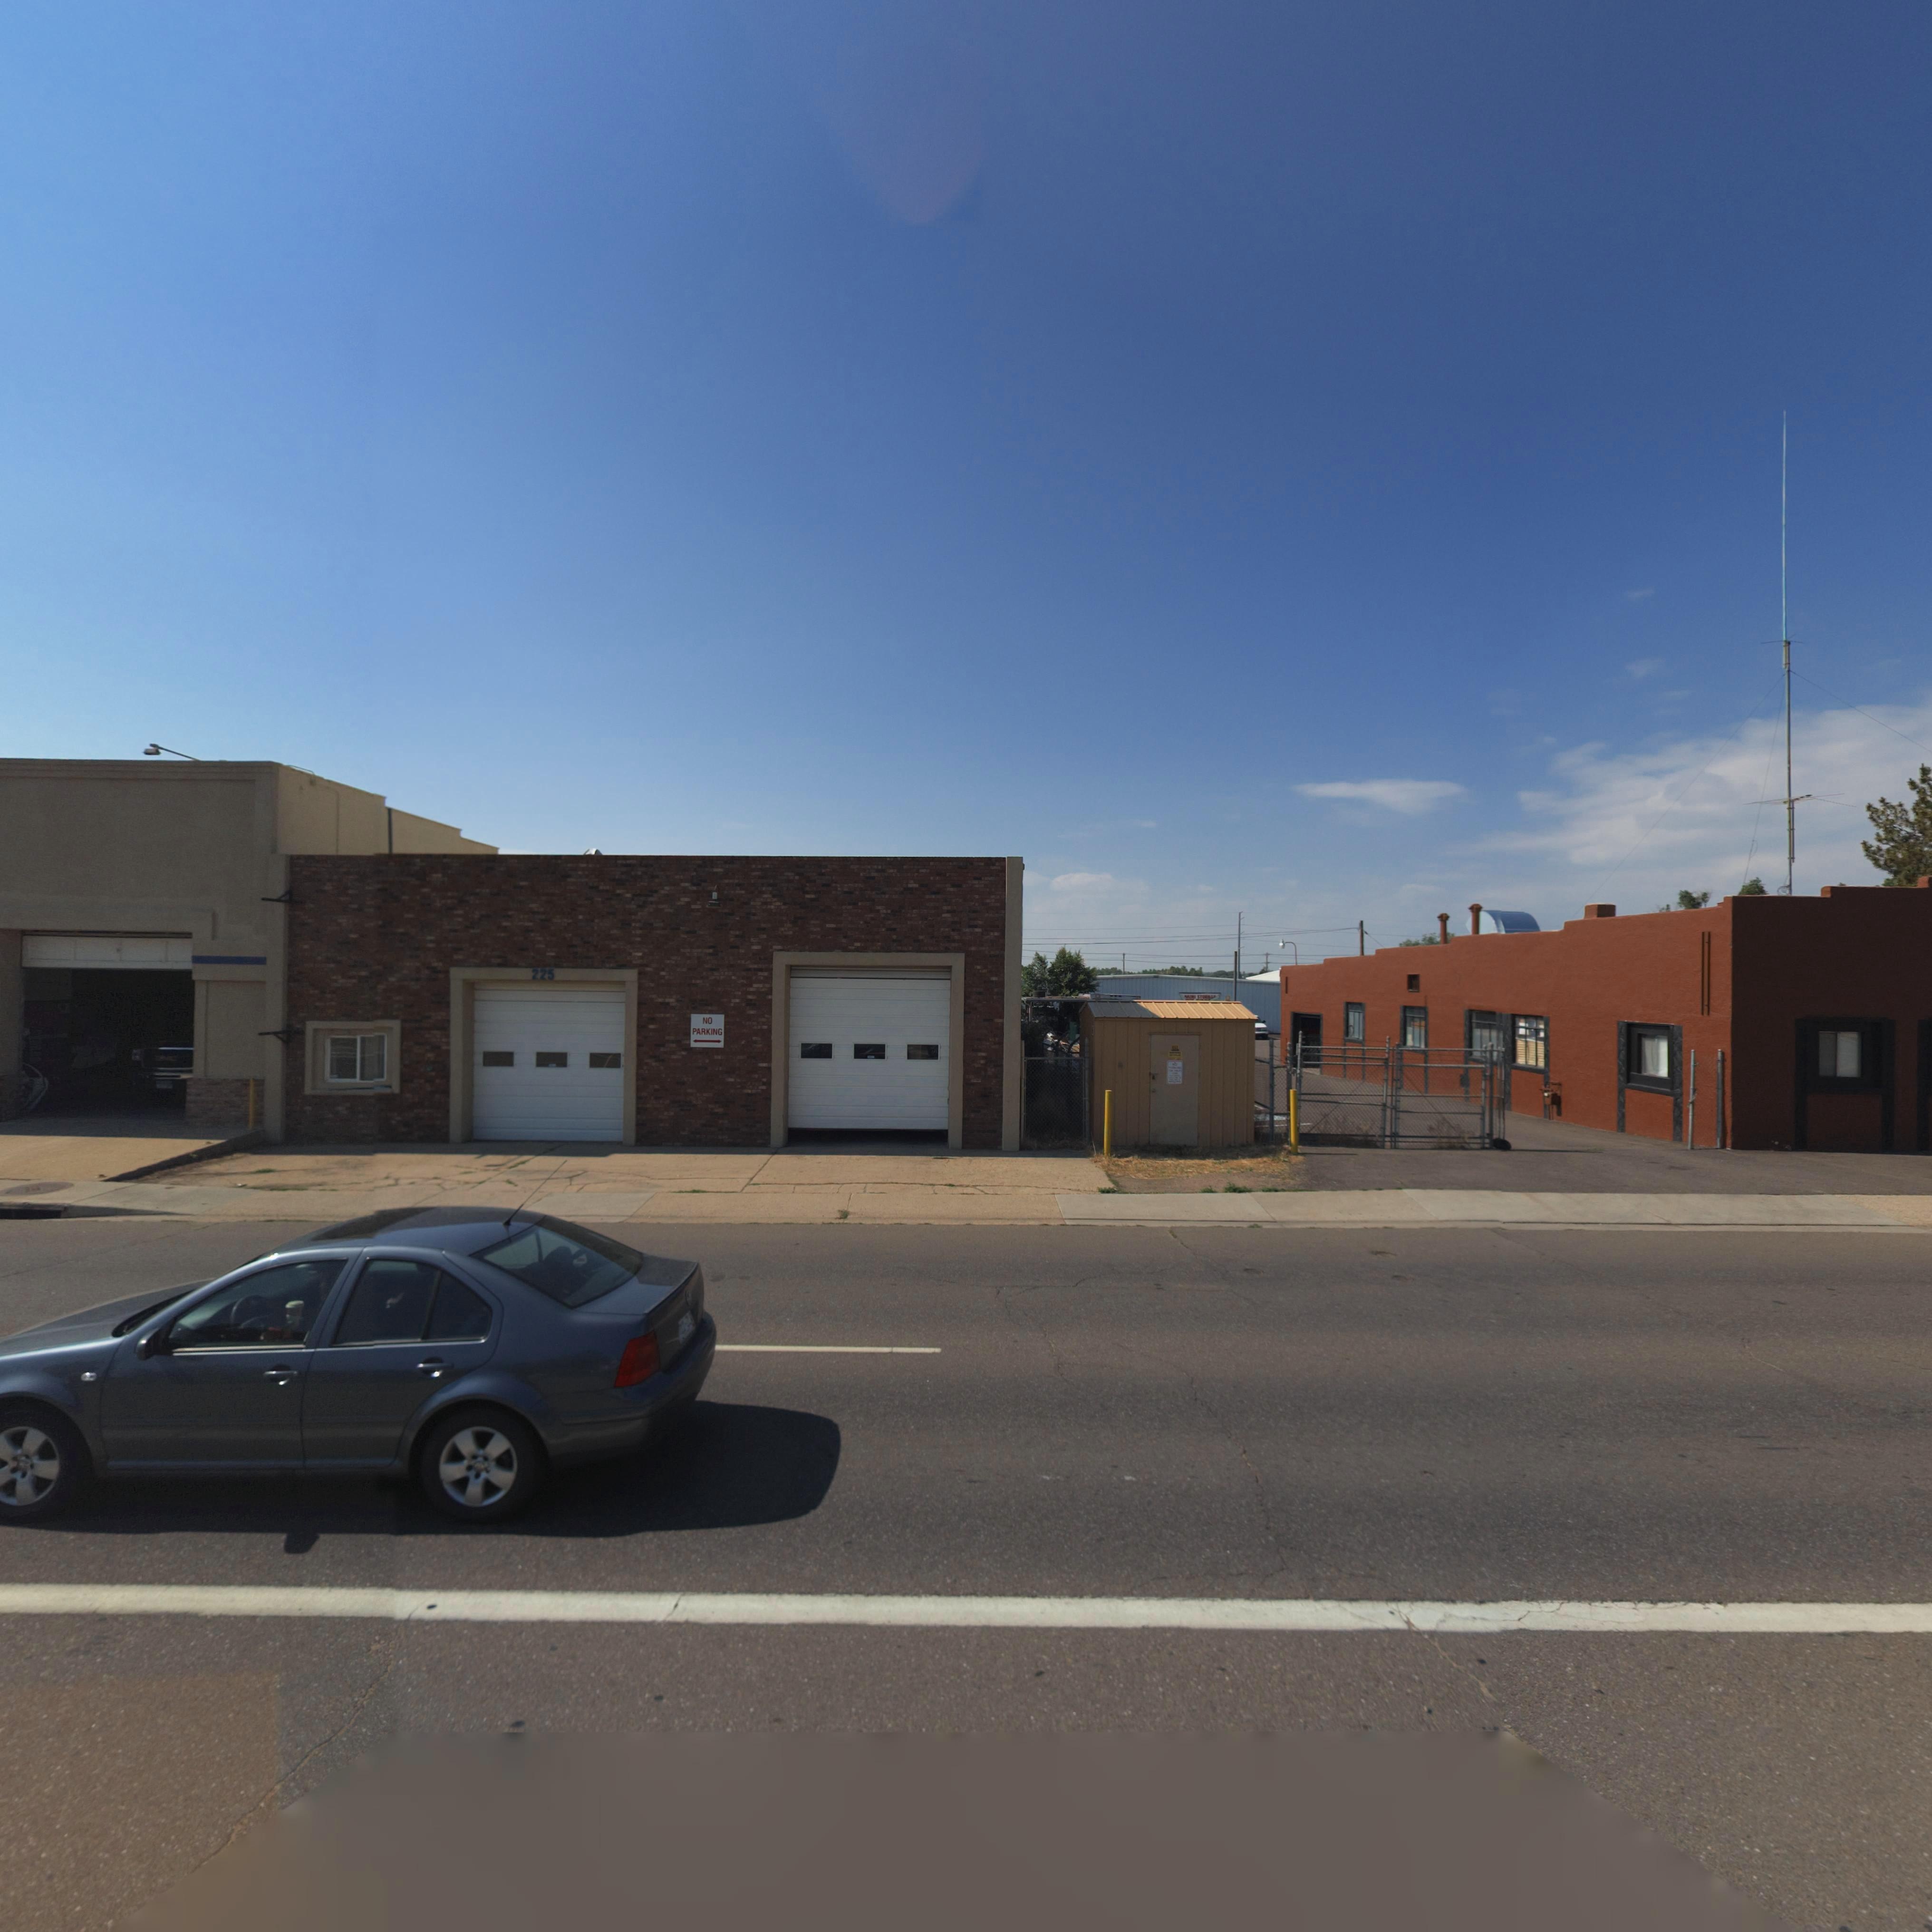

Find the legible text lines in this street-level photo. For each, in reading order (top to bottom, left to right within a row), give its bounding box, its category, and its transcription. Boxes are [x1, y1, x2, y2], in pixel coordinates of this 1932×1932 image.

[530, 967, 554, 981] StreetNumber: 225